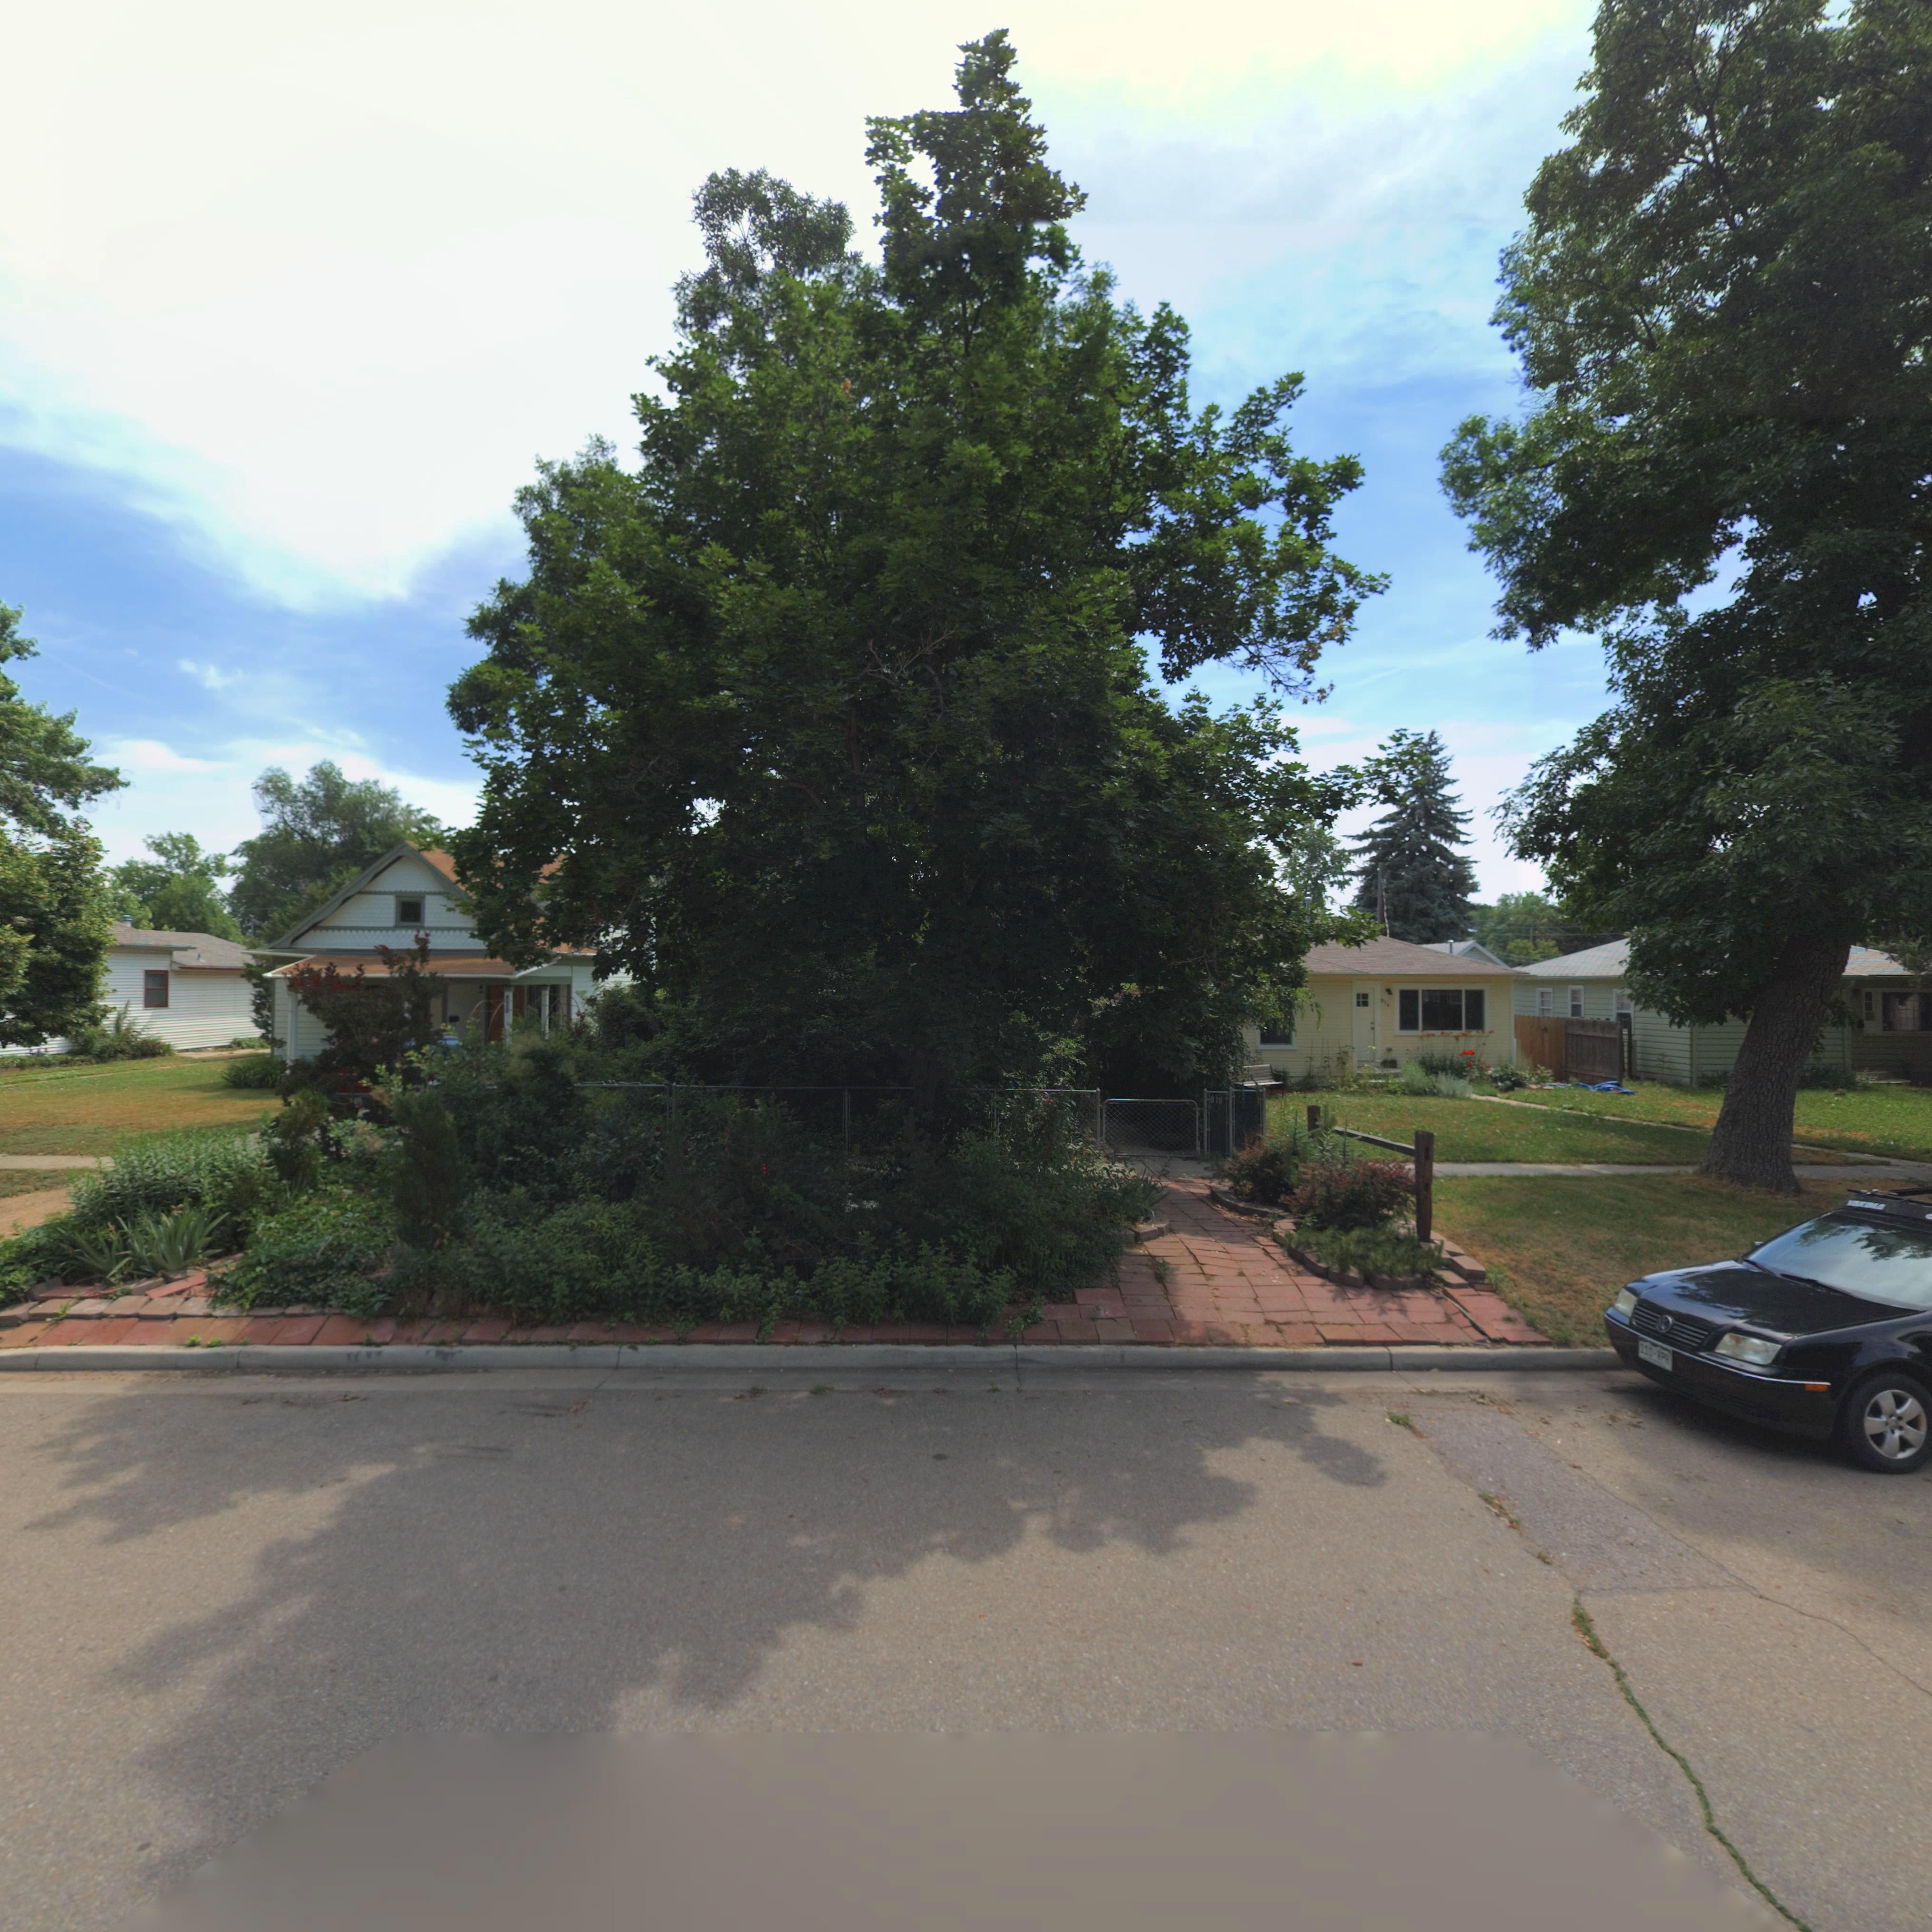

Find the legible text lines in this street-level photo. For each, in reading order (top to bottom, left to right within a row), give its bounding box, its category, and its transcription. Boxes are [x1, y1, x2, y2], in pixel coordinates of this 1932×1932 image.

[505, 994, 510, 1014] StreetNumber: 82*
[1381, 997, 1390, 1007] StreetNumber: 81*
[1209, 1095, 1222, 1104] StreetNumber: 818